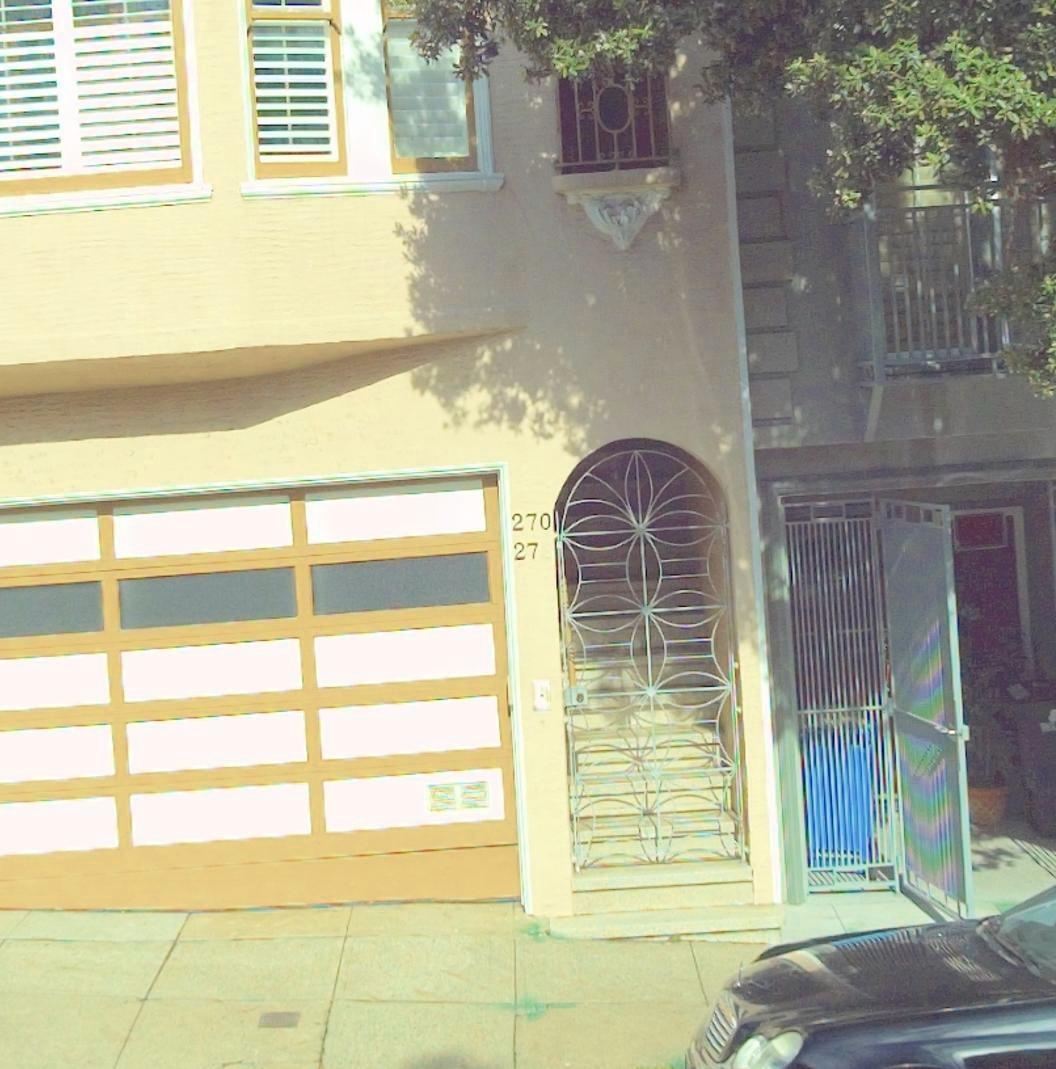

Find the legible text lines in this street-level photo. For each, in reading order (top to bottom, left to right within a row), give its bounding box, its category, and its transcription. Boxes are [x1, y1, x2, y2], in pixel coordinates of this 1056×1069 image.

[510, 512, 552, 533] StreetNumber: 270
[512, 540, 555, 563] StreetNumber: 27*